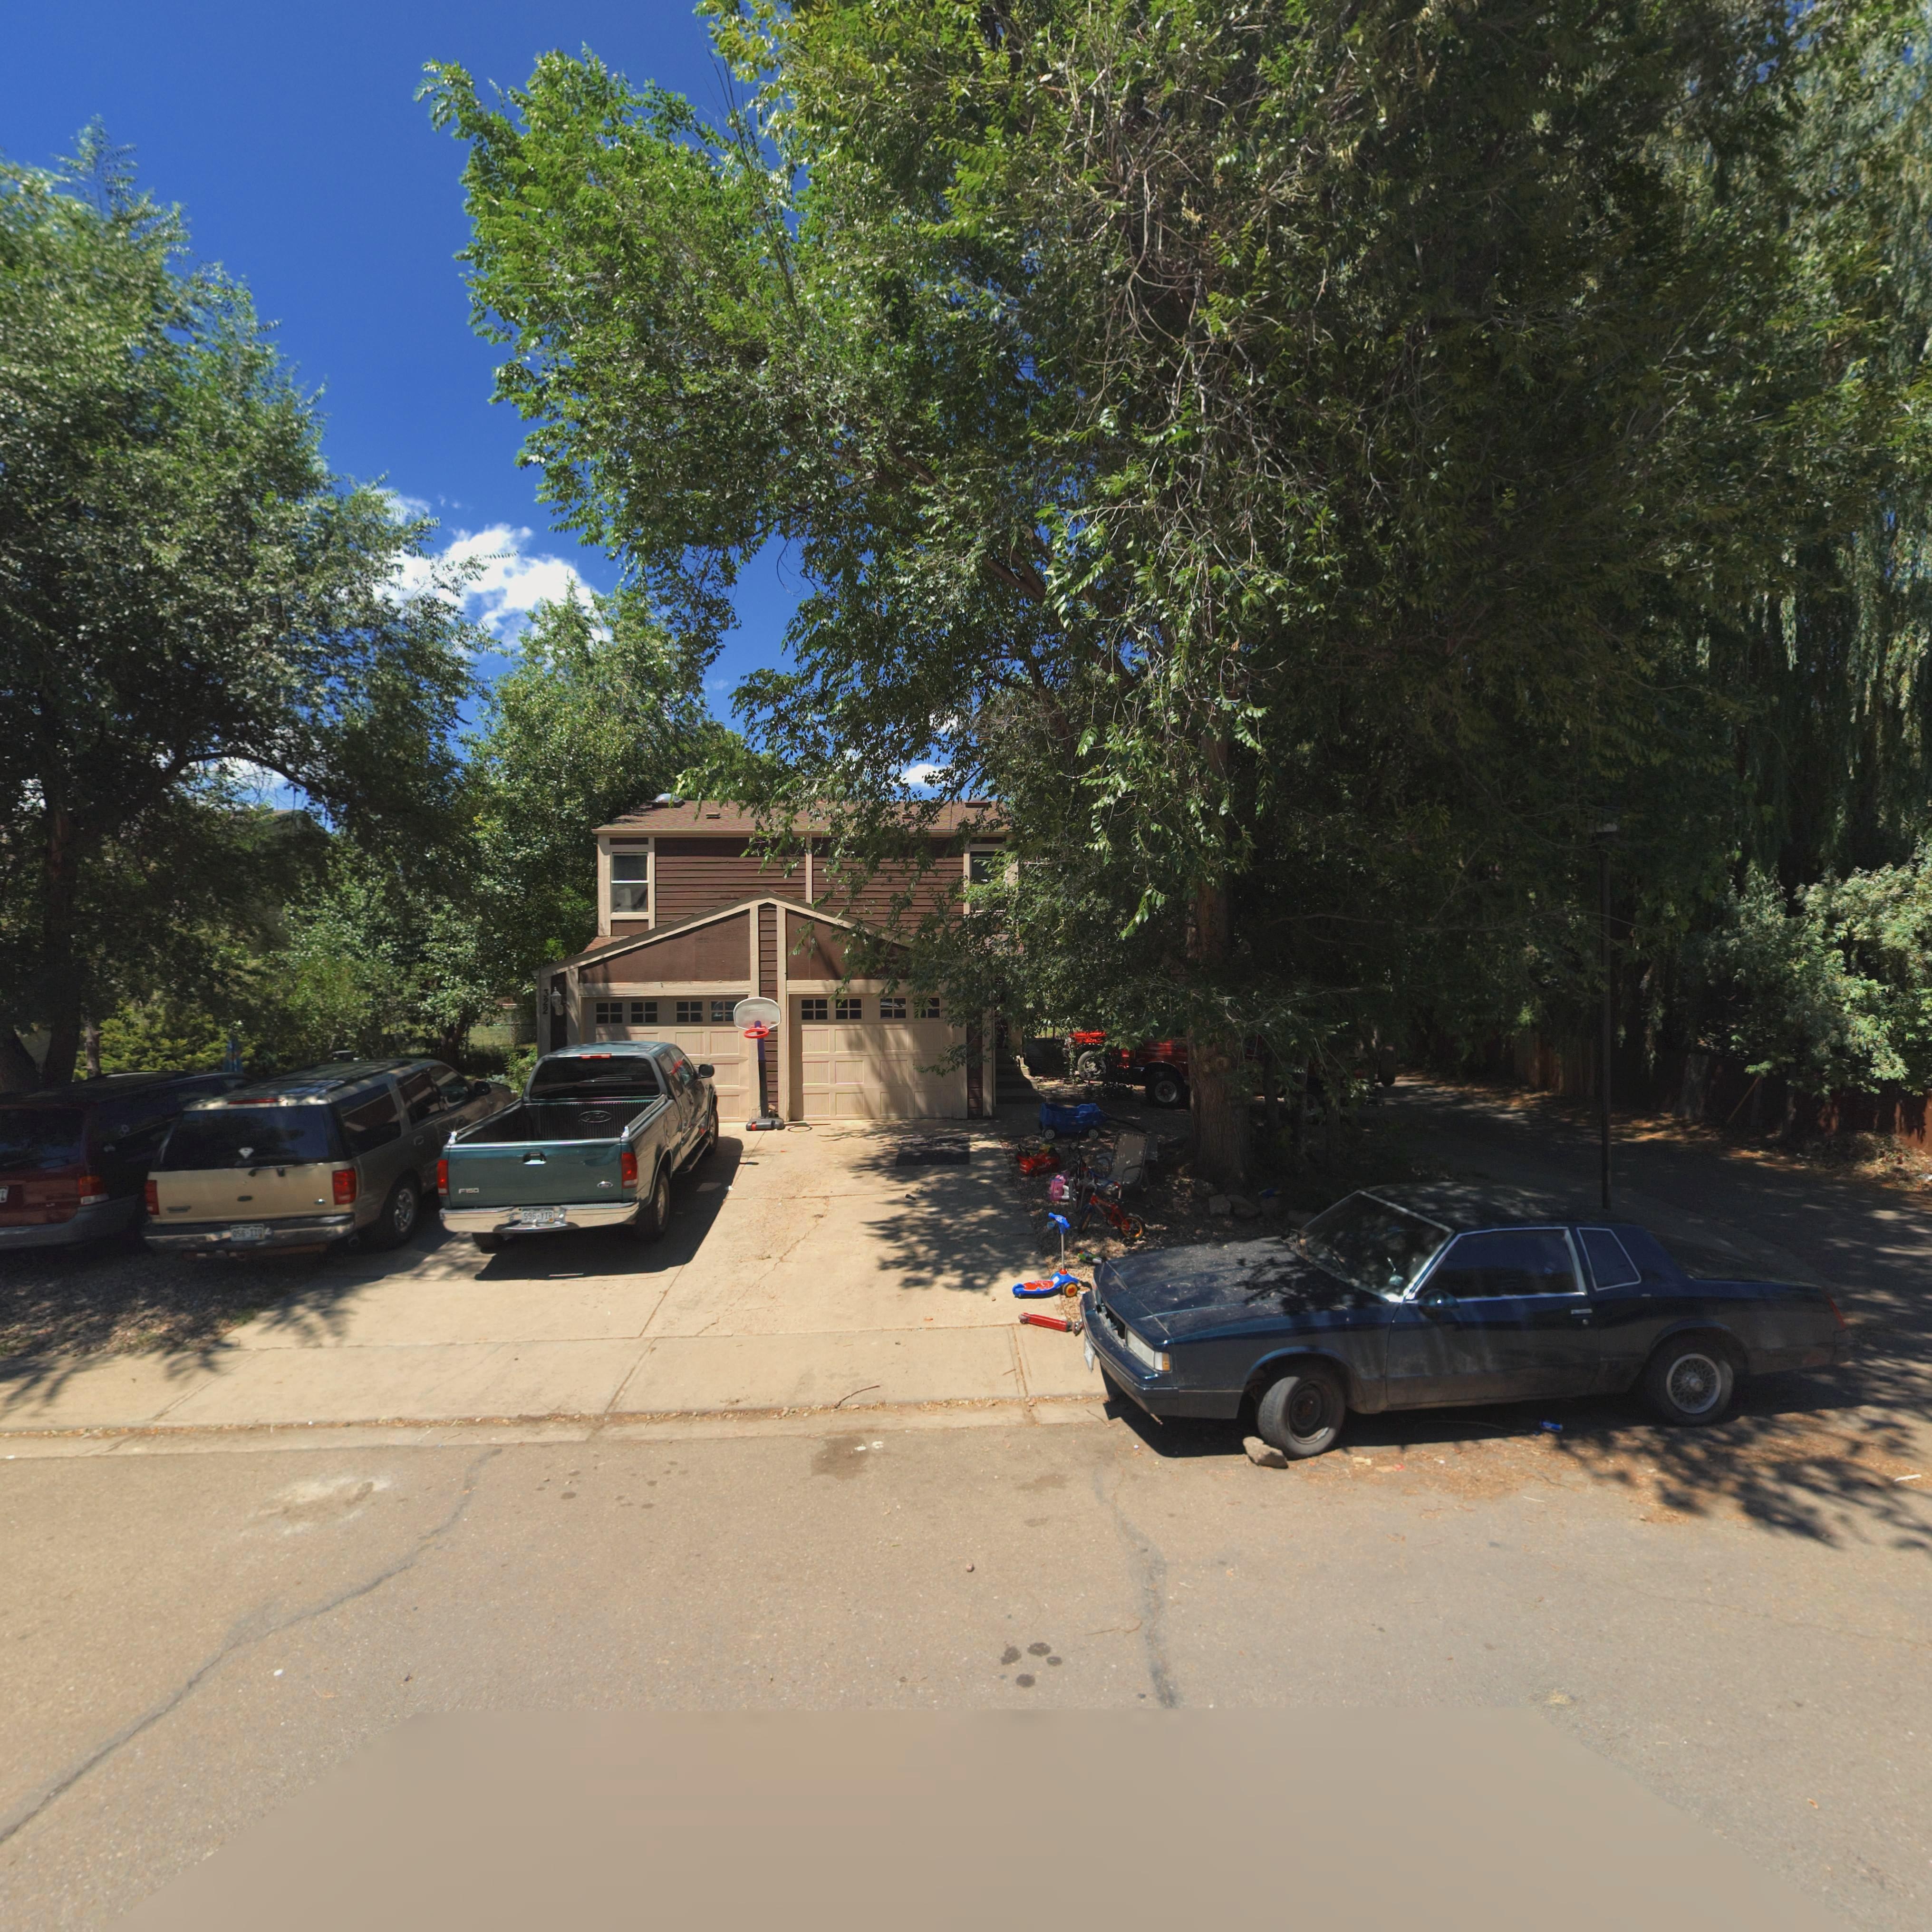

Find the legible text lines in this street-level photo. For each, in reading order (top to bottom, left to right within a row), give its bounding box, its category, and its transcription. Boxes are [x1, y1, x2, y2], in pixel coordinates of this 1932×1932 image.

[542, 988, 549, 1014] StreetNumber: 322